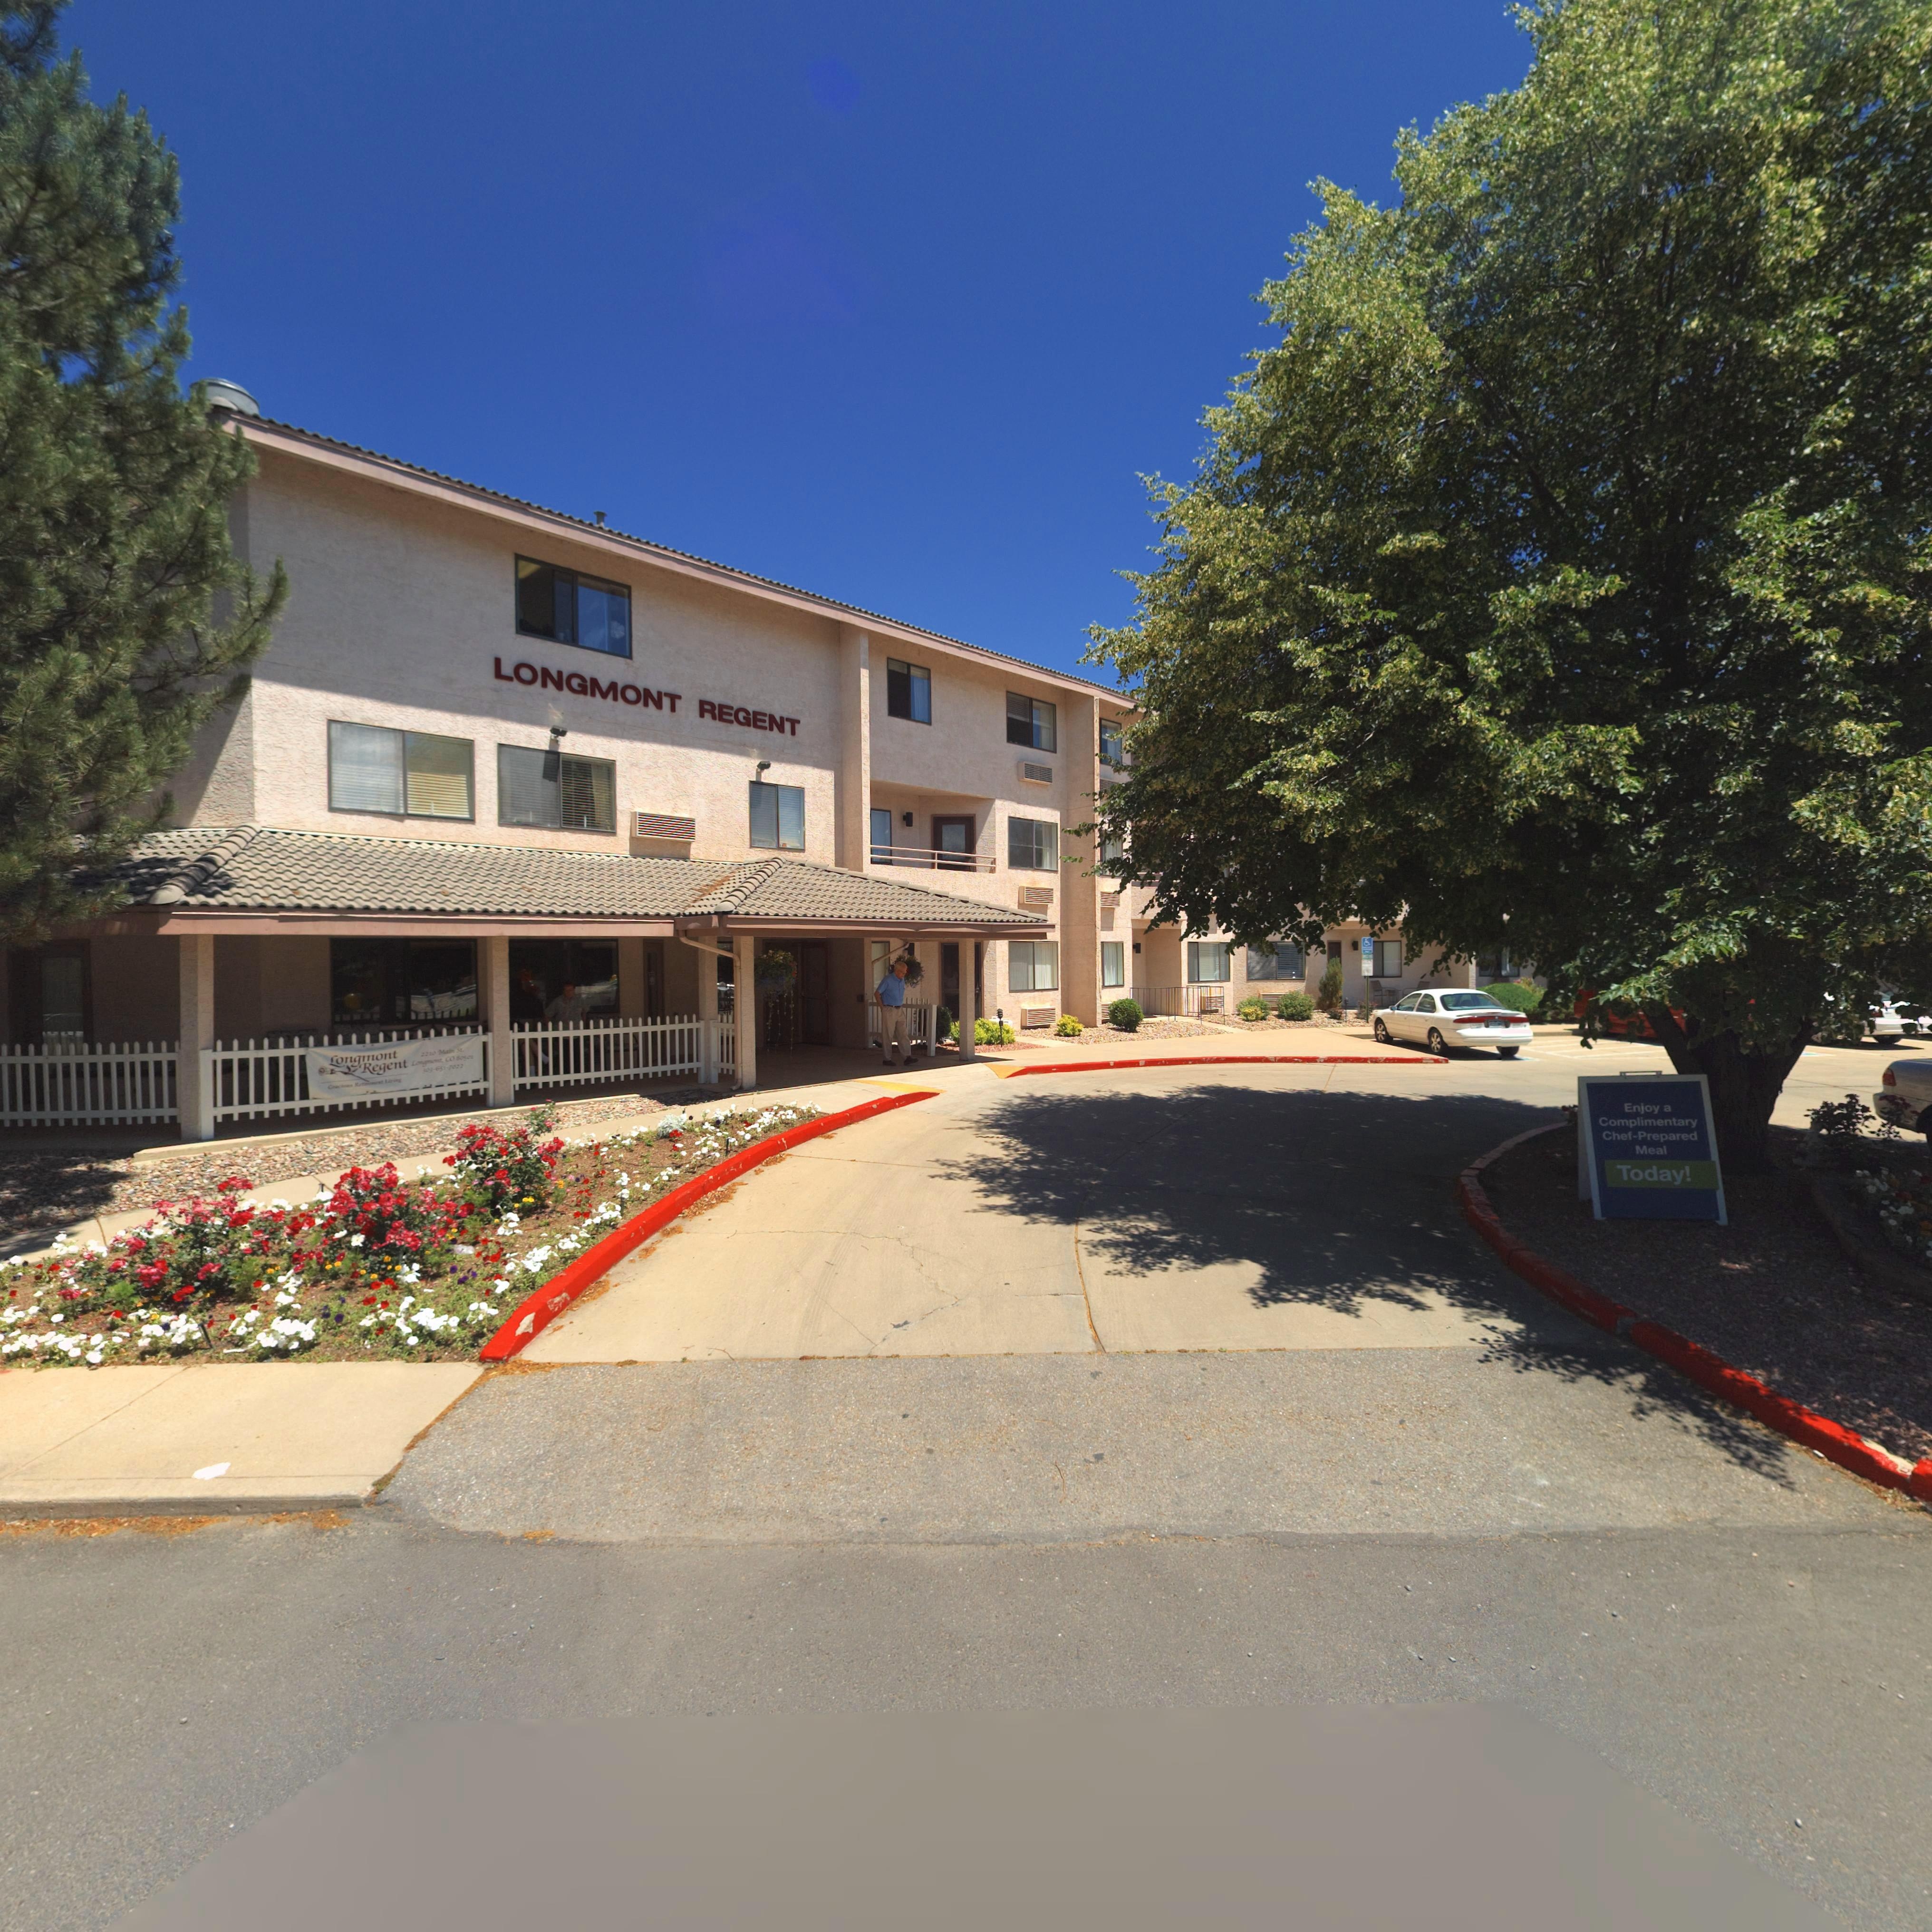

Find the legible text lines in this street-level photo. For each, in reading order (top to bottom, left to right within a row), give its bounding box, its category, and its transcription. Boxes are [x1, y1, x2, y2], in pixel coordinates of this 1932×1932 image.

[493, 655, 802, 737] BusinessName: LONGMONT REGENT
[328, 1050, 398, 1068] BusinessName: Longmont
[357, 1058, 409, 1076] BusinessName: Regent
[420, 1051, 436, 1057] StreetNumber: 2210
[436, 1047, 463, 1055] StreetName: Main St